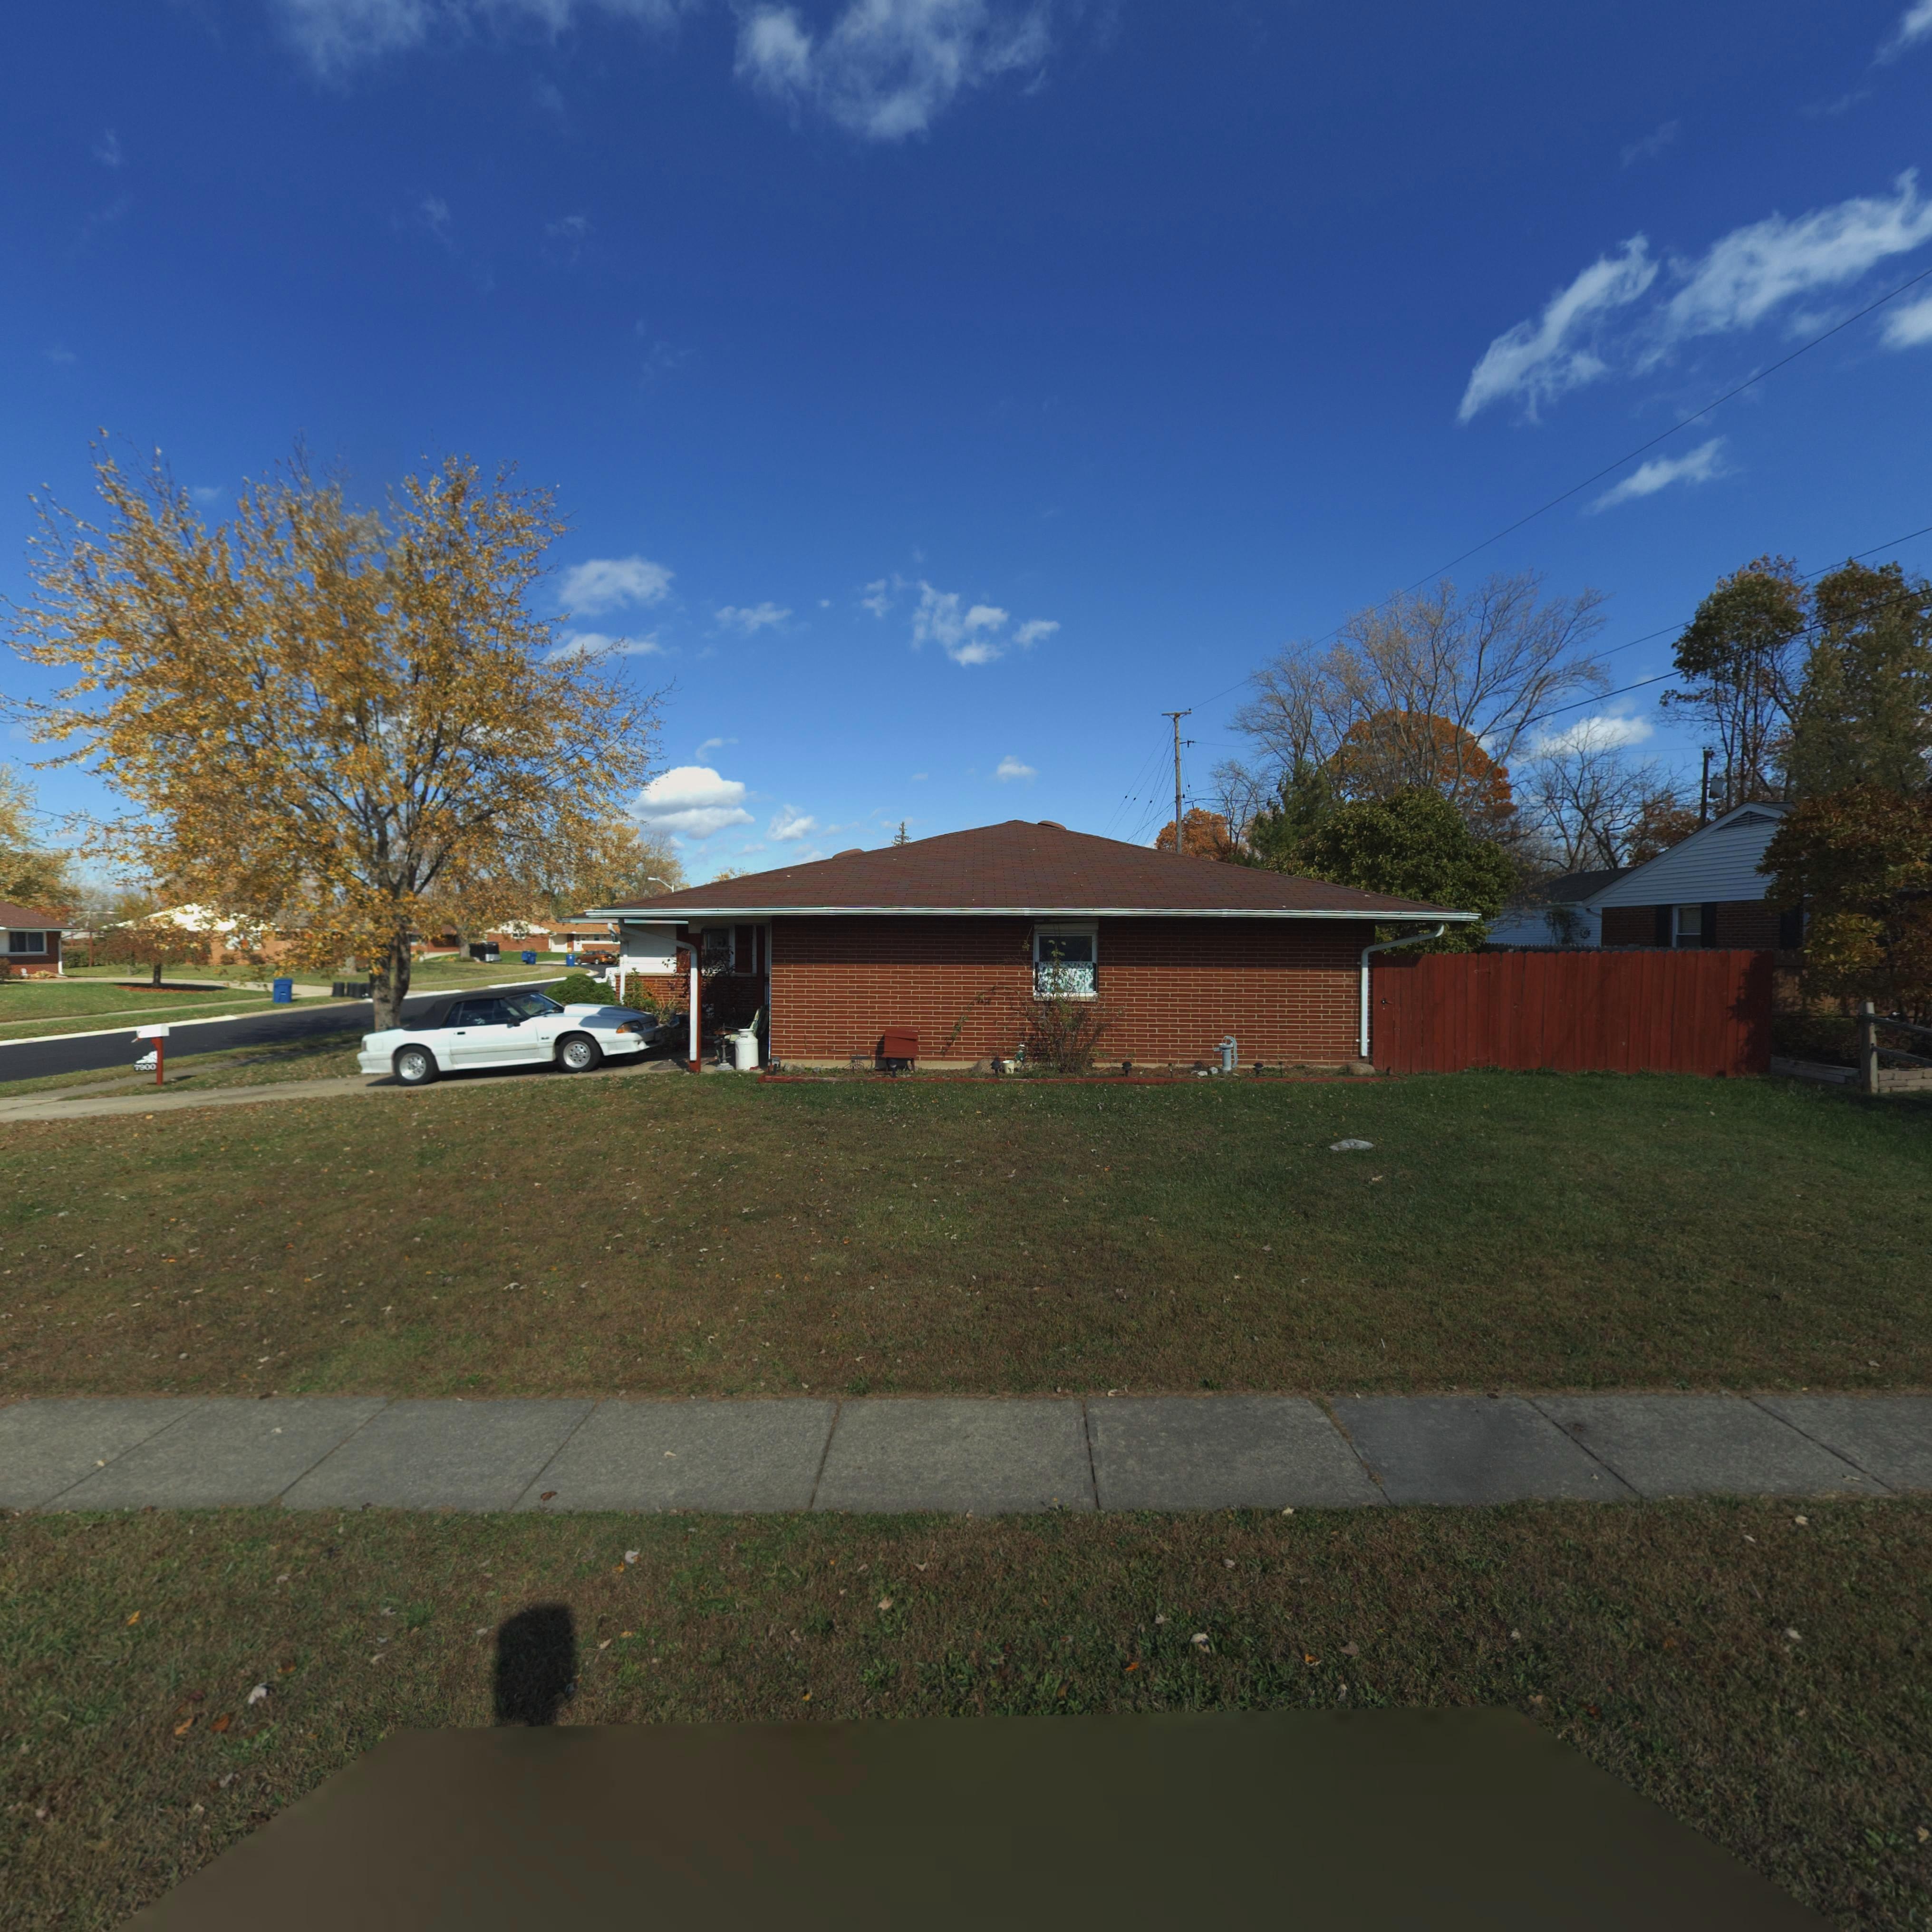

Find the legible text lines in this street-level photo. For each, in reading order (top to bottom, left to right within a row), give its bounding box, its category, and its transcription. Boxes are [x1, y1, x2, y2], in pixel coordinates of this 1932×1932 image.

[133, 1063, 157, 1071] StreetNumber: 7900